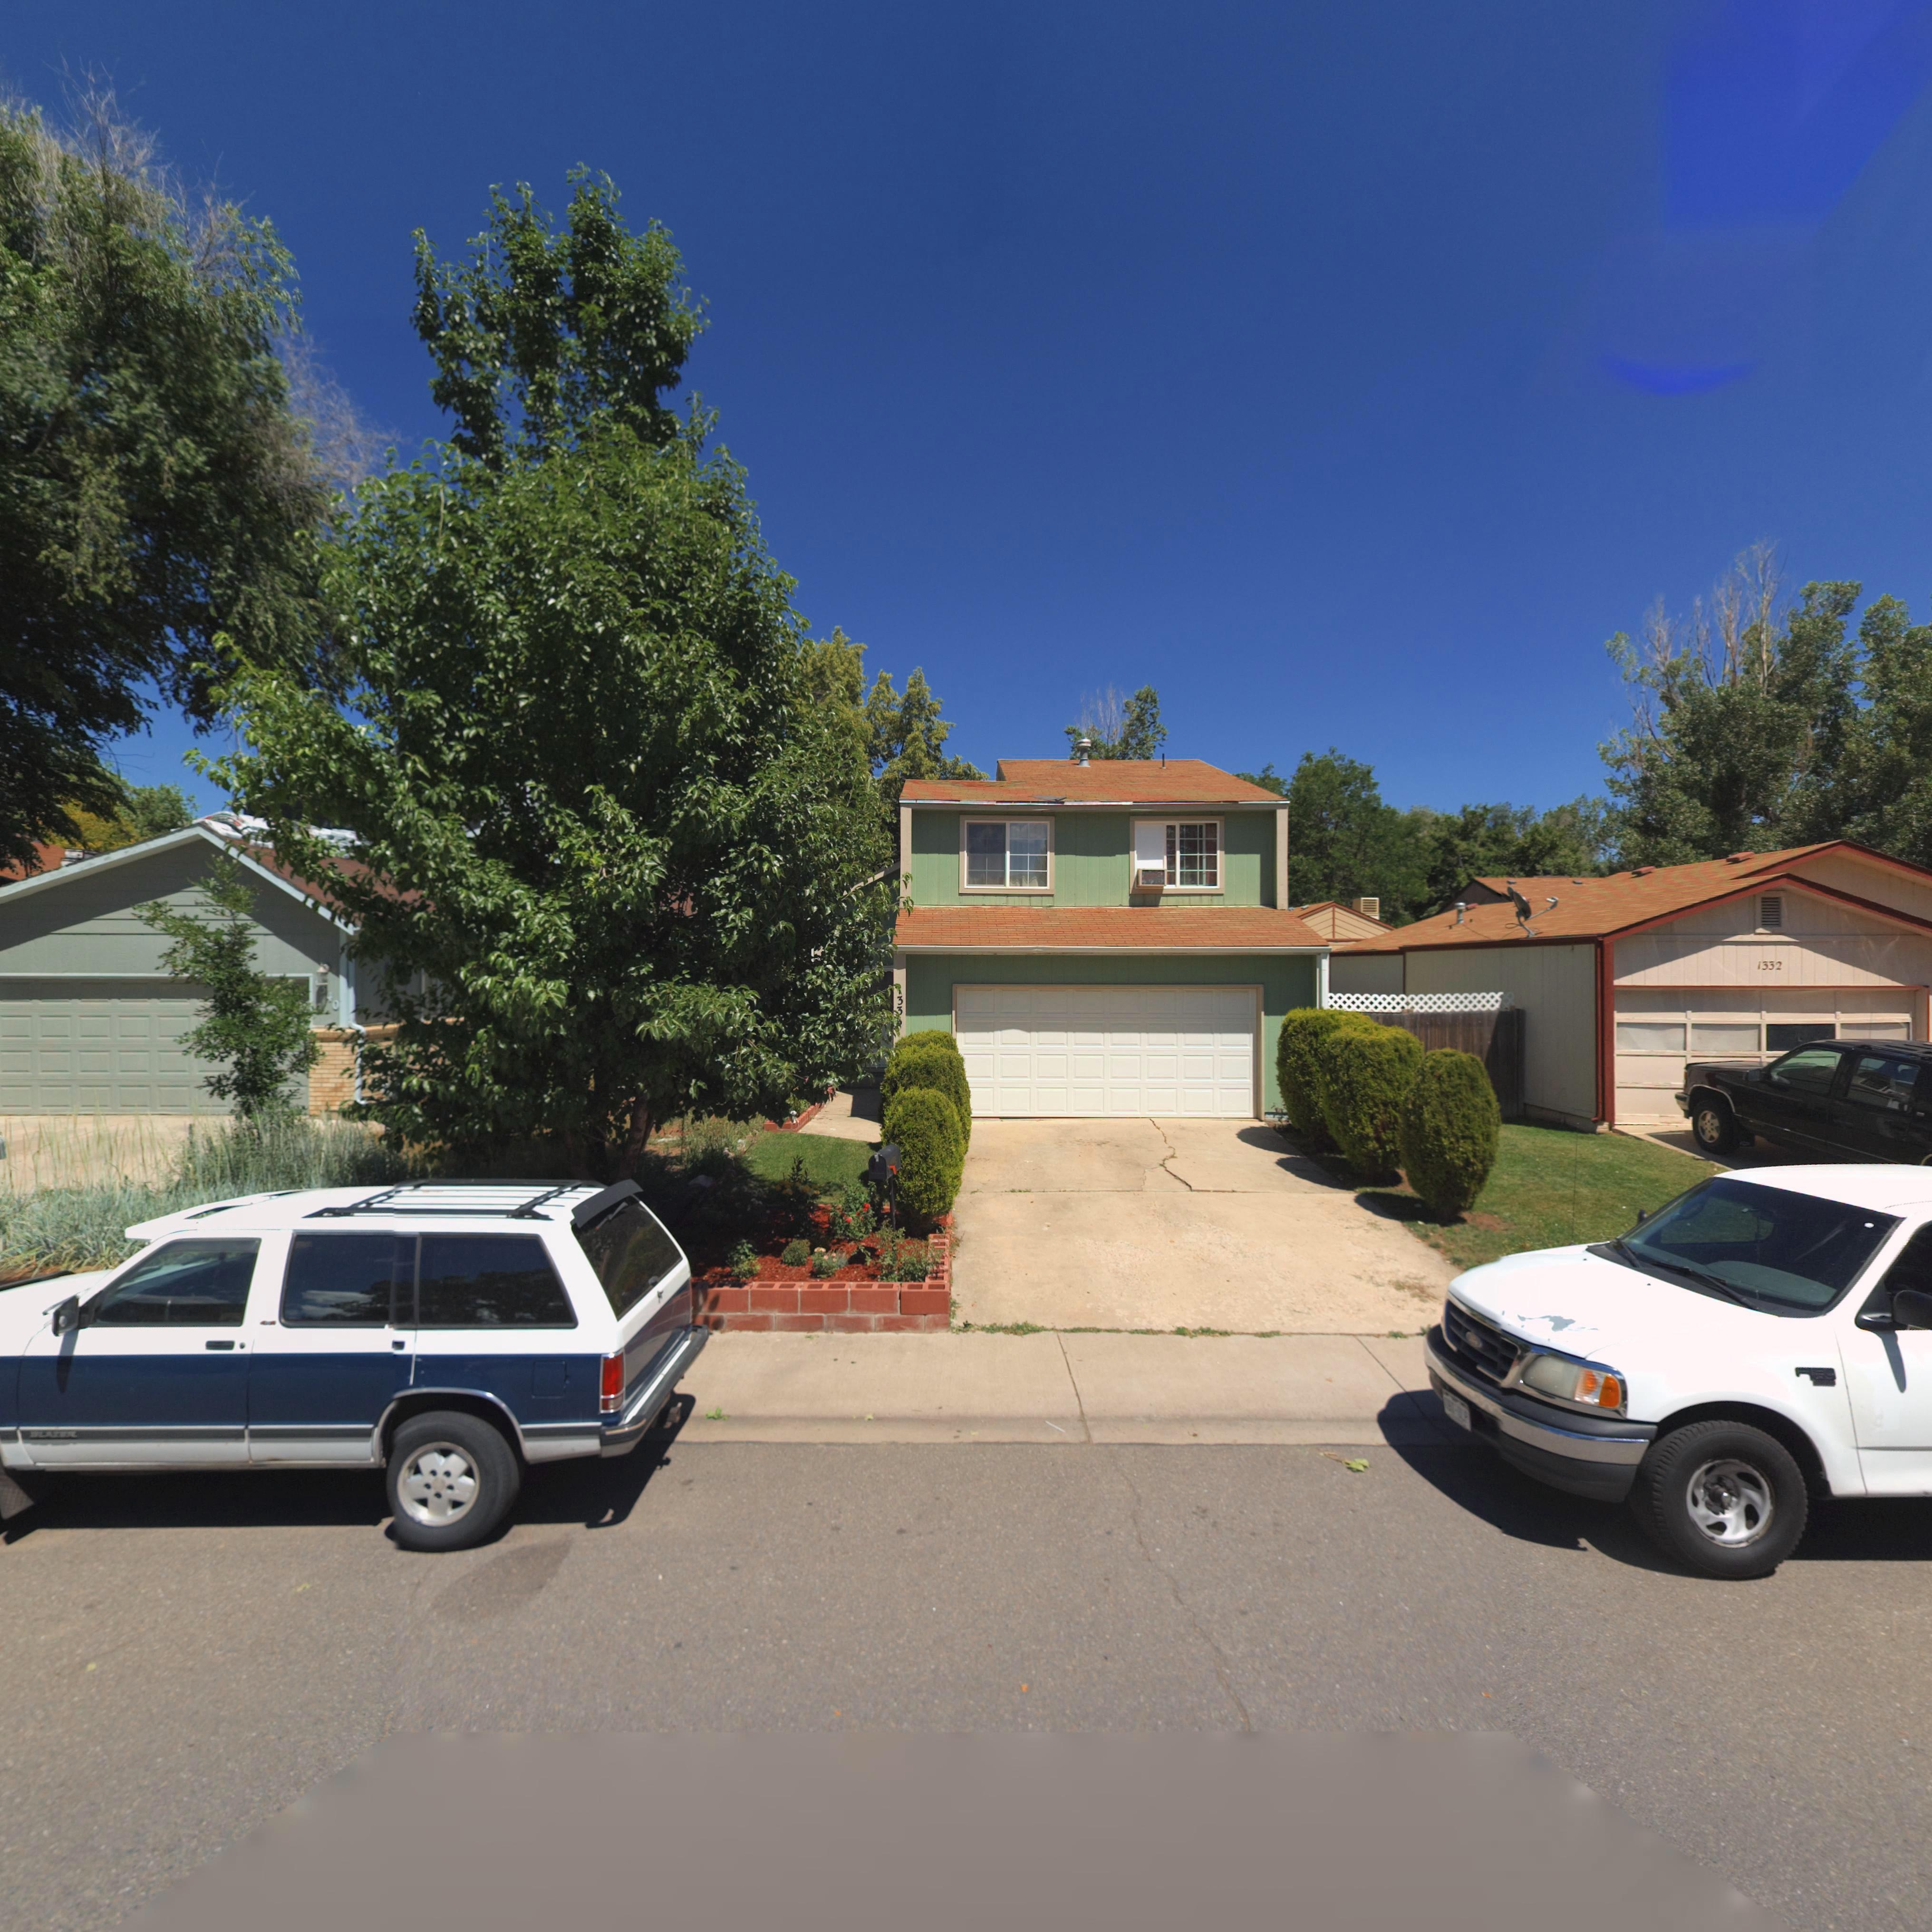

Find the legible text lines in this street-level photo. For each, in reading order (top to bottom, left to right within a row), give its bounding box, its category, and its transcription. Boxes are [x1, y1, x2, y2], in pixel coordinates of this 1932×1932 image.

[1757, 960, 1782, 971] StreetNumber: 1332
[314, 977, 340, 1011] StreetNumber: 1*40
[896, 995, 903, 1015] StreetNumber: 33